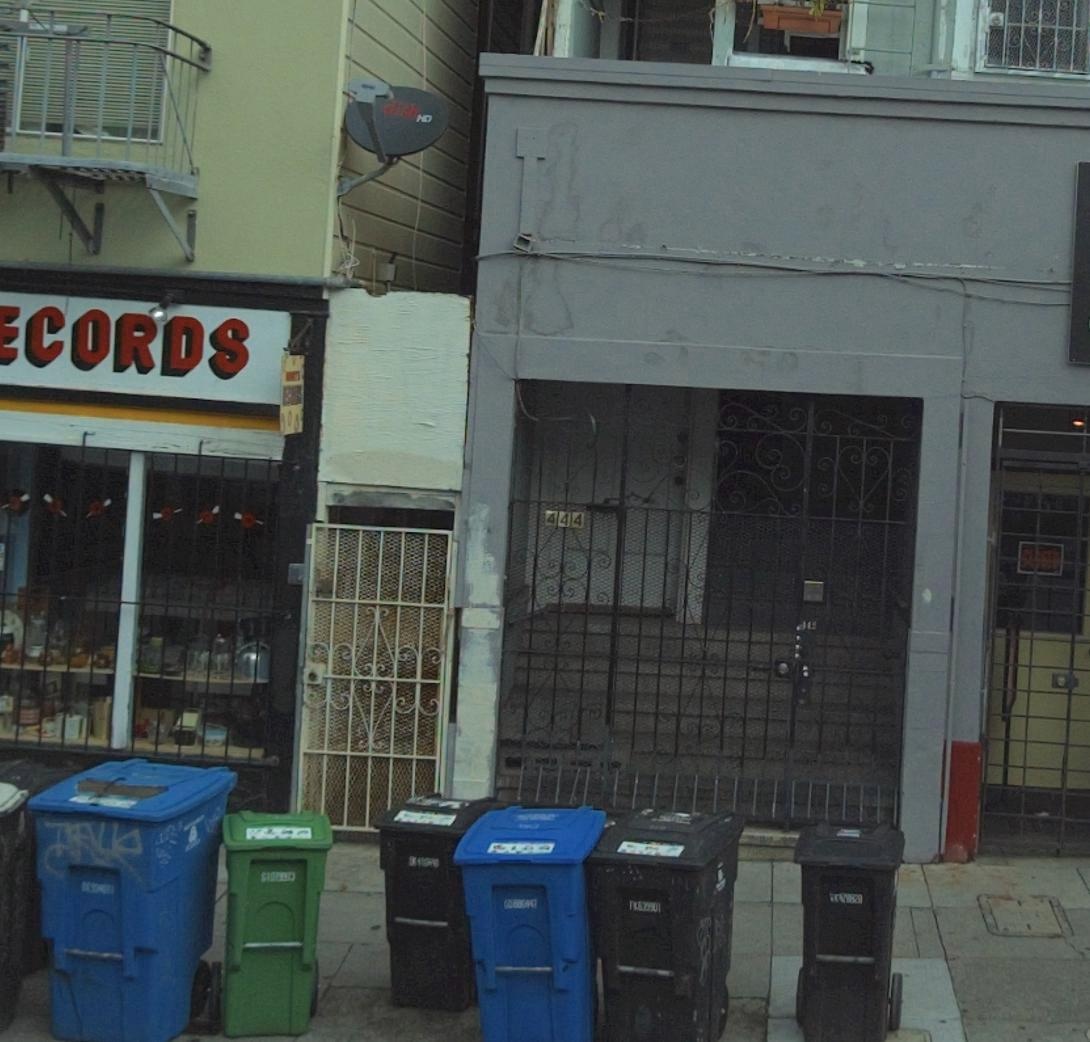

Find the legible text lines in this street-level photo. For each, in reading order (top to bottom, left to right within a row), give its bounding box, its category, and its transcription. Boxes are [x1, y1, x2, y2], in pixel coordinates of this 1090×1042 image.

[379, 97, 423, 121] None: dish
[414, 111, 435, 125] None: HD
[21, 299, 253, 385] BusinessName: CORDS
[545, 511, 584, 528] StreetNumber: 444